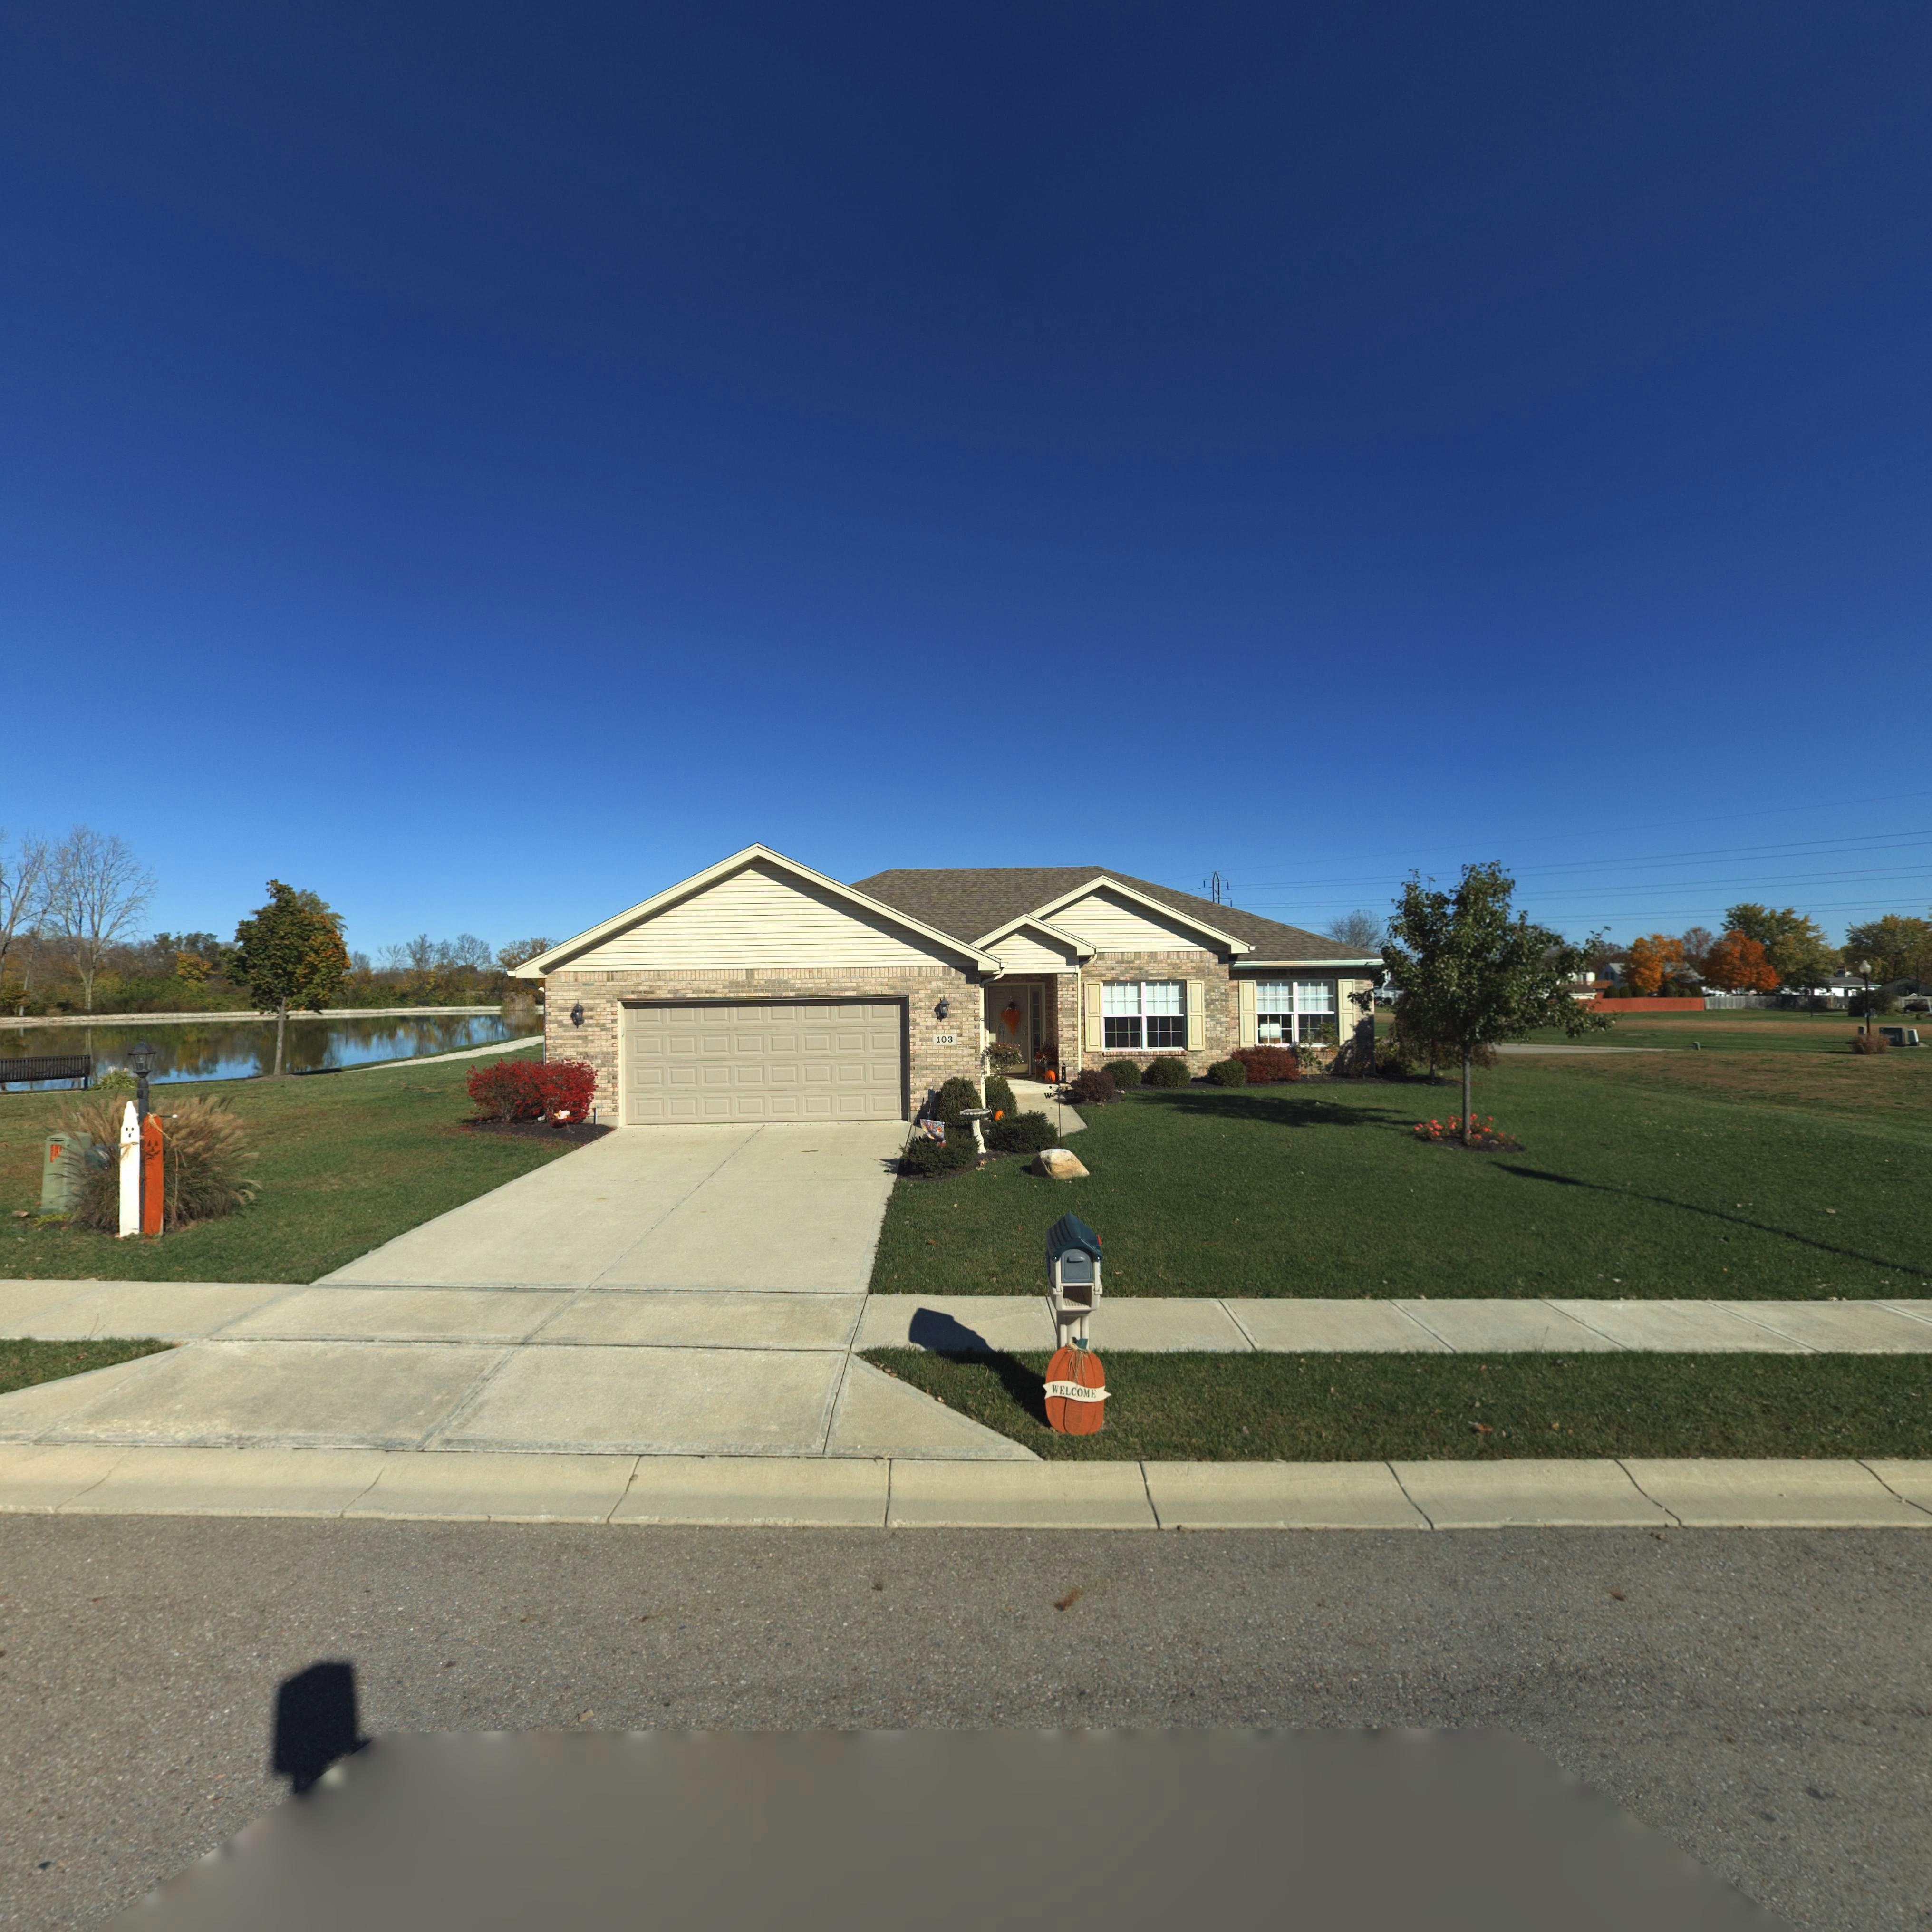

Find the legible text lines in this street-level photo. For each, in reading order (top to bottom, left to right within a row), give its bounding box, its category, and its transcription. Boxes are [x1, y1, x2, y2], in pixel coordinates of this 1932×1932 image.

[936, 1035, 954, 1043] StreetNumber: 103